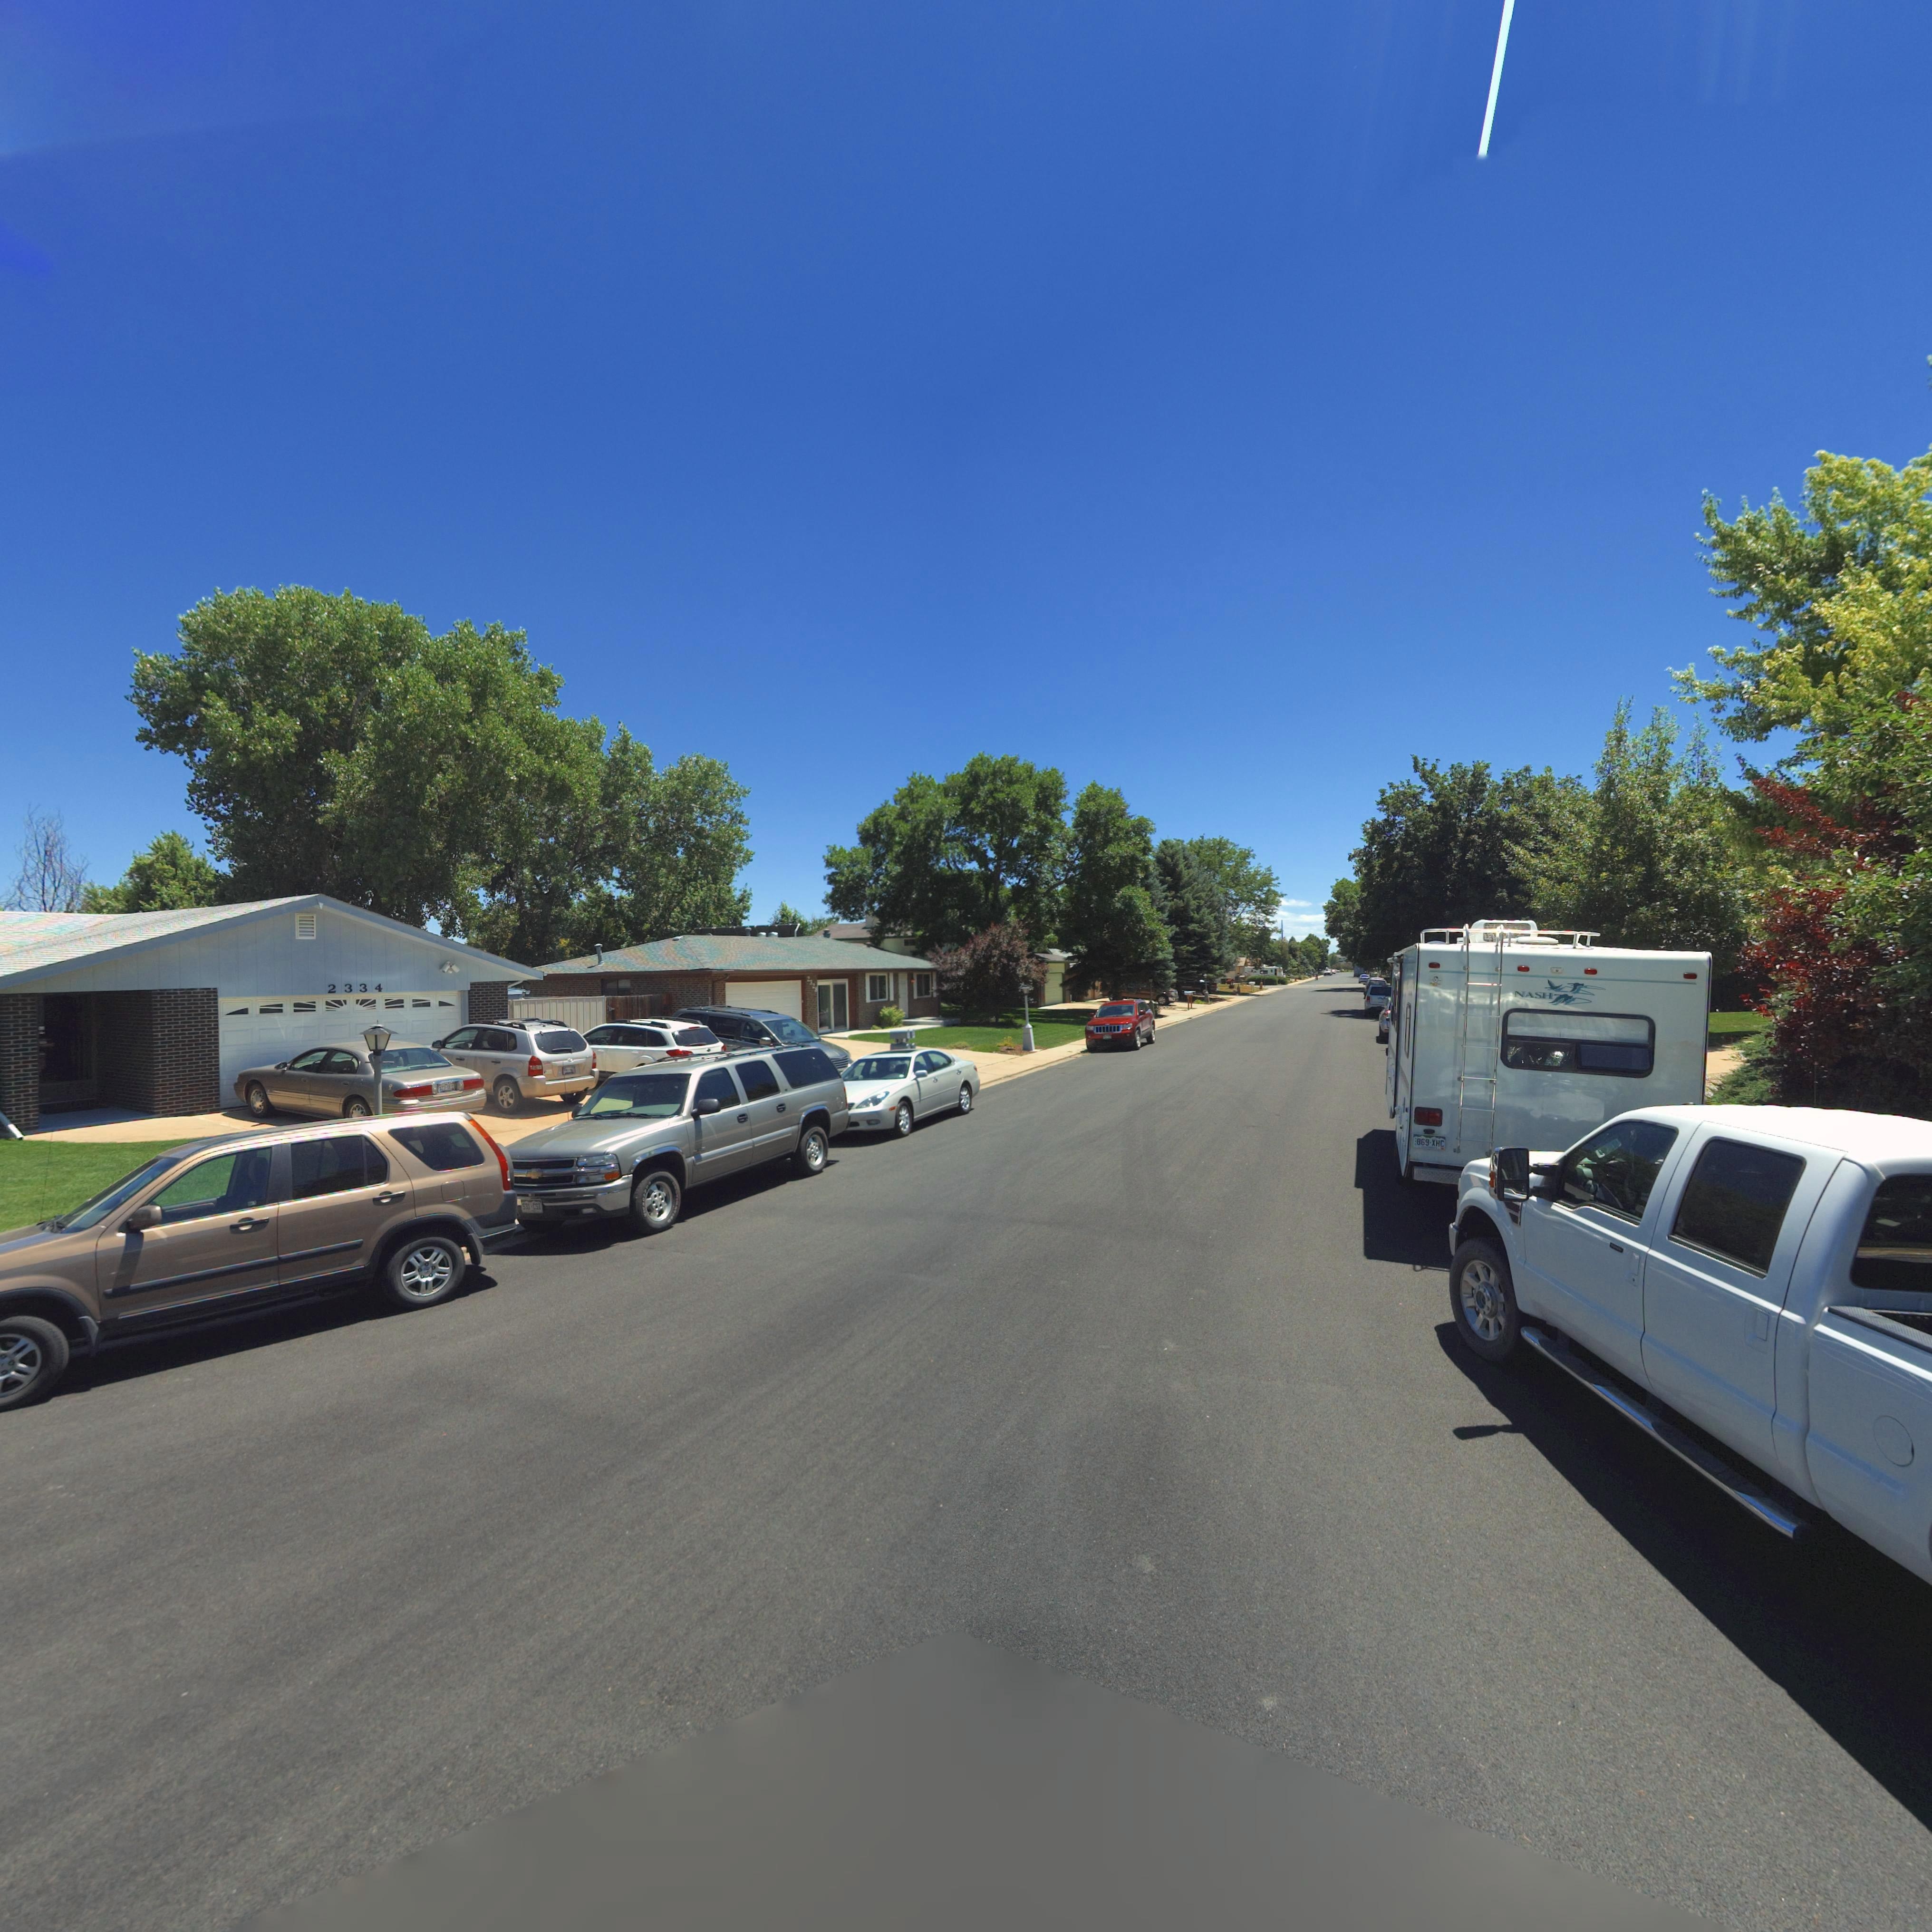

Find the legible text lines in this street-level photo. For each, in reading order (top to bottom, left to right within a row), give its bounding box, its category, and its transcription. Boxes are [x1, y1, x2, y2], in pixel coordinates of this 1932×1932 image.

[327, 983, 383, 994] StreetNumber: 2334
[807, 976, 818, 992] StreetNumber: 2328